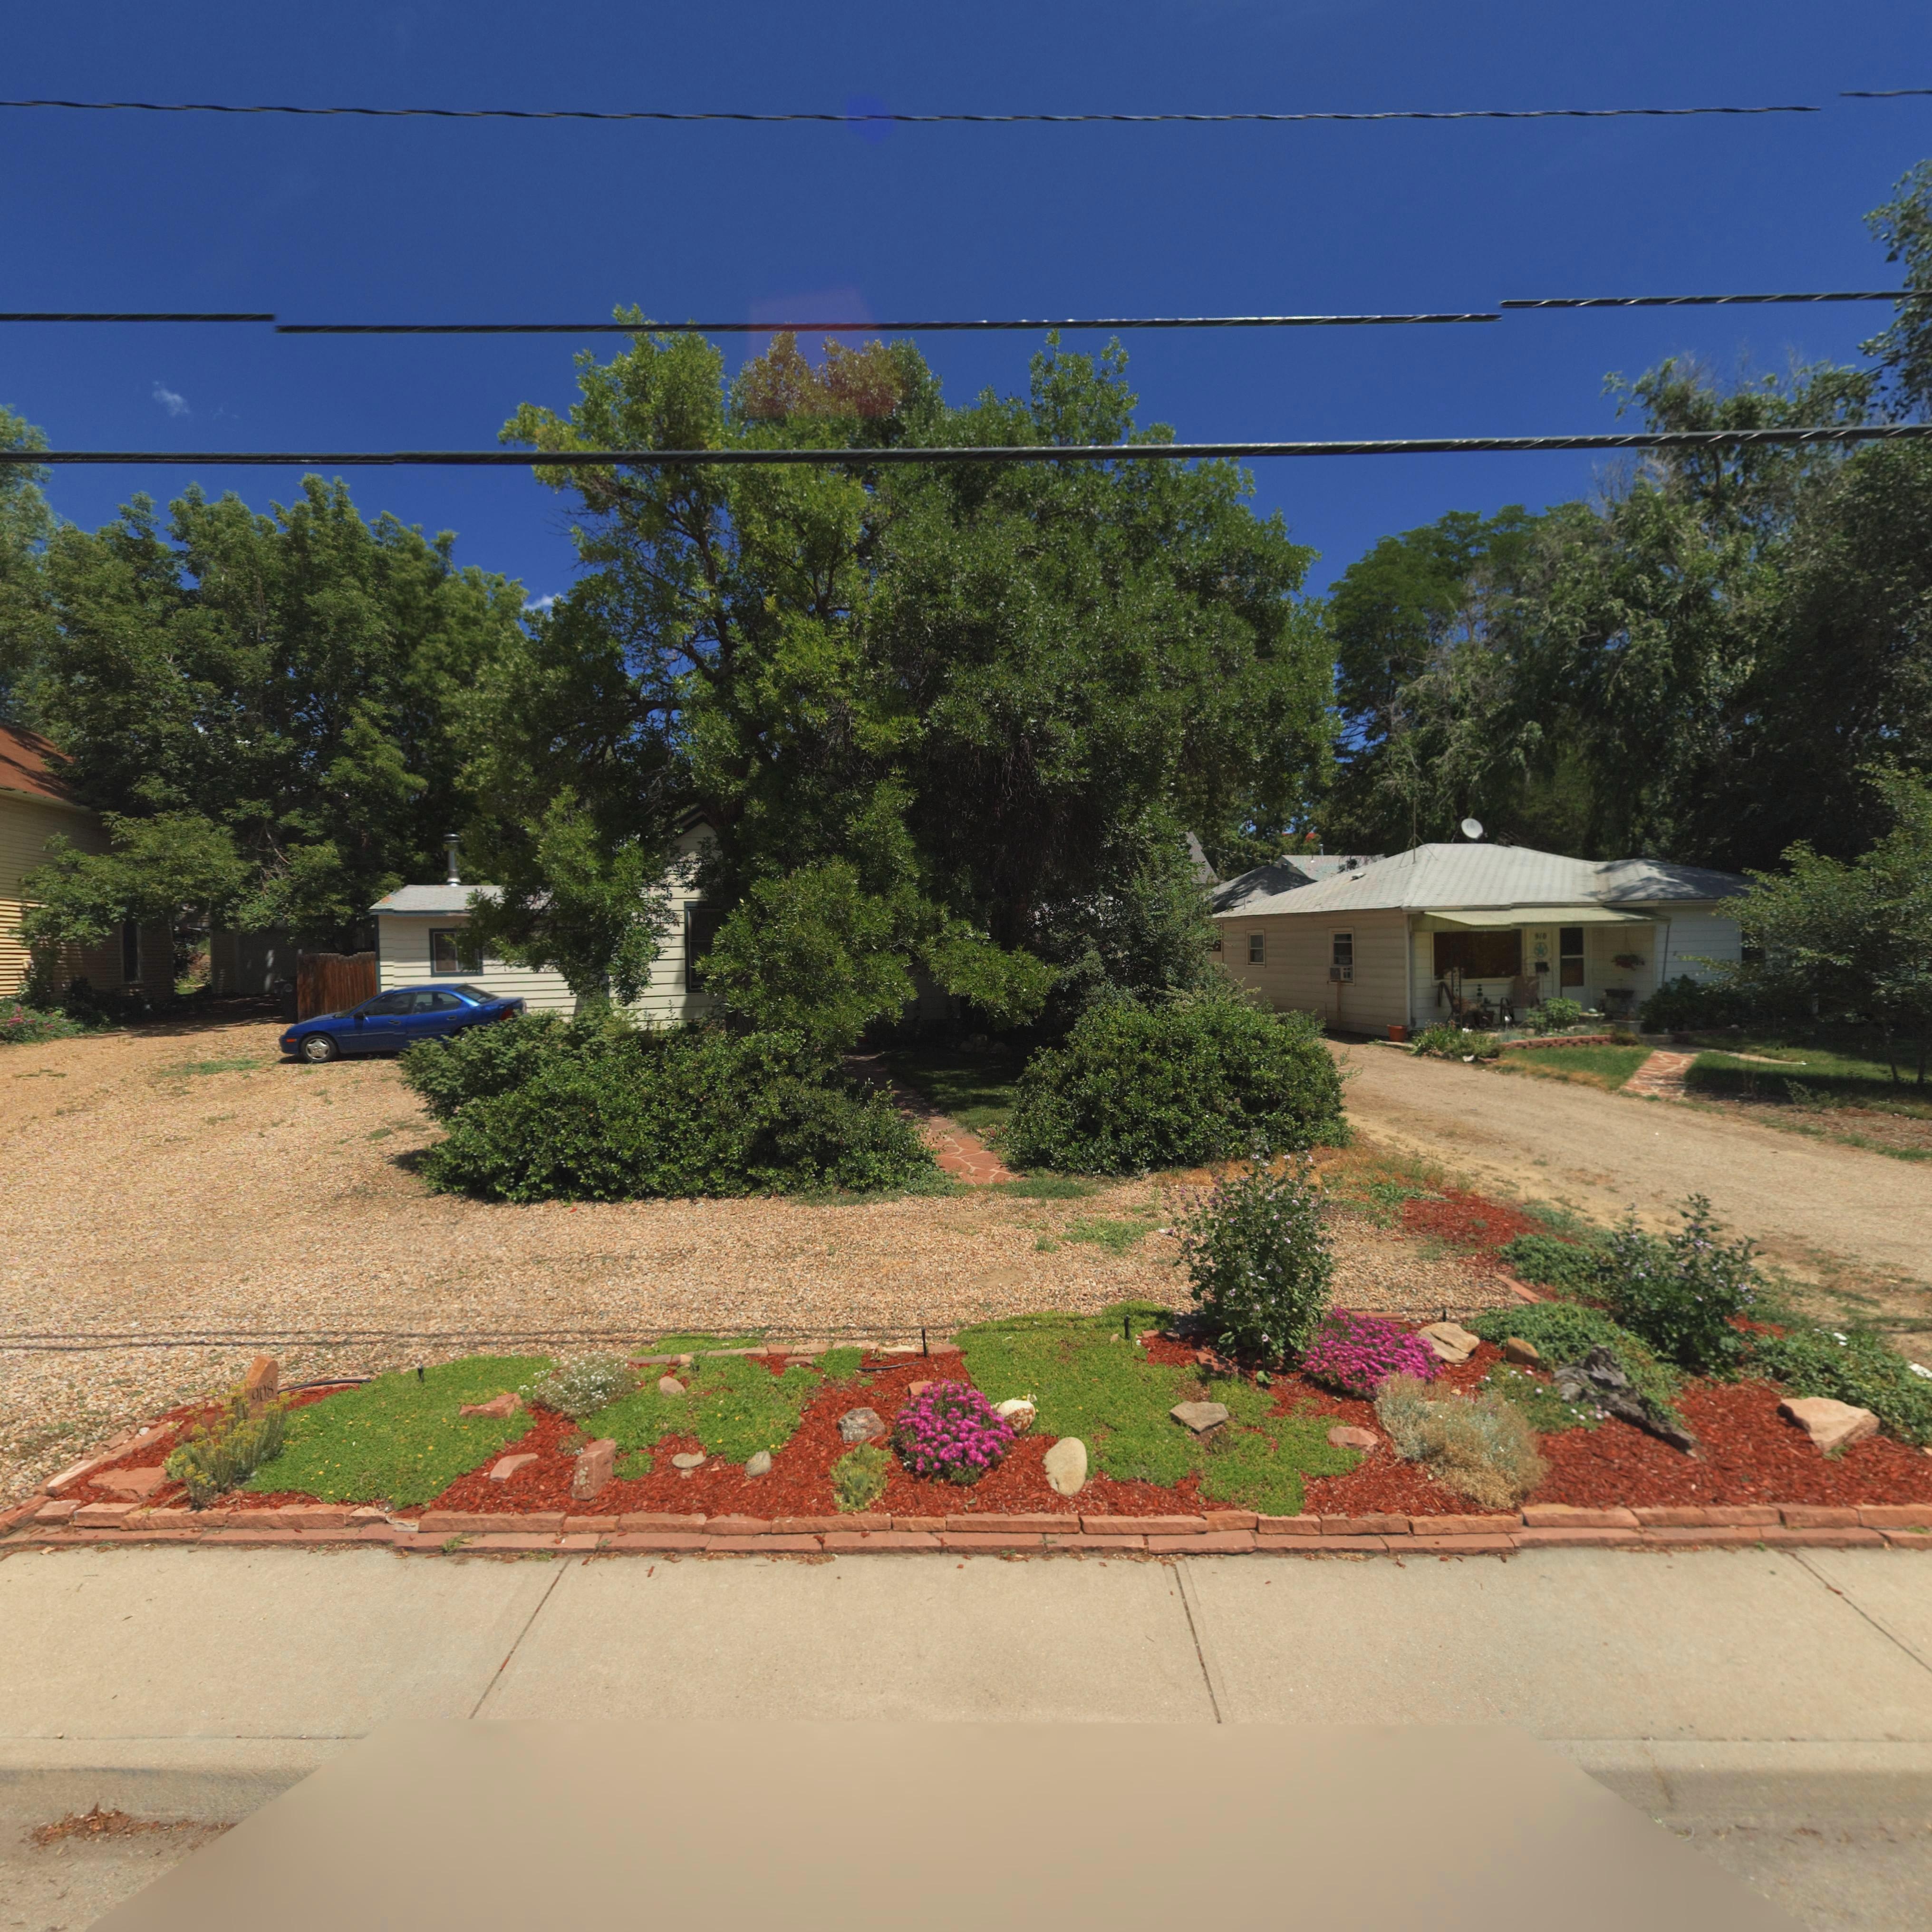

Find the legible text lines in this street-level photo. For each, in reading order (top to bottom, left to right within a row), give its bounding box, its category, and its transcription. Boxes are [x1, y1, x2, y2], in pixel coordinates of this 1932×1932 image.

[1534, 932, 1547, 940] StreetNumber: 910